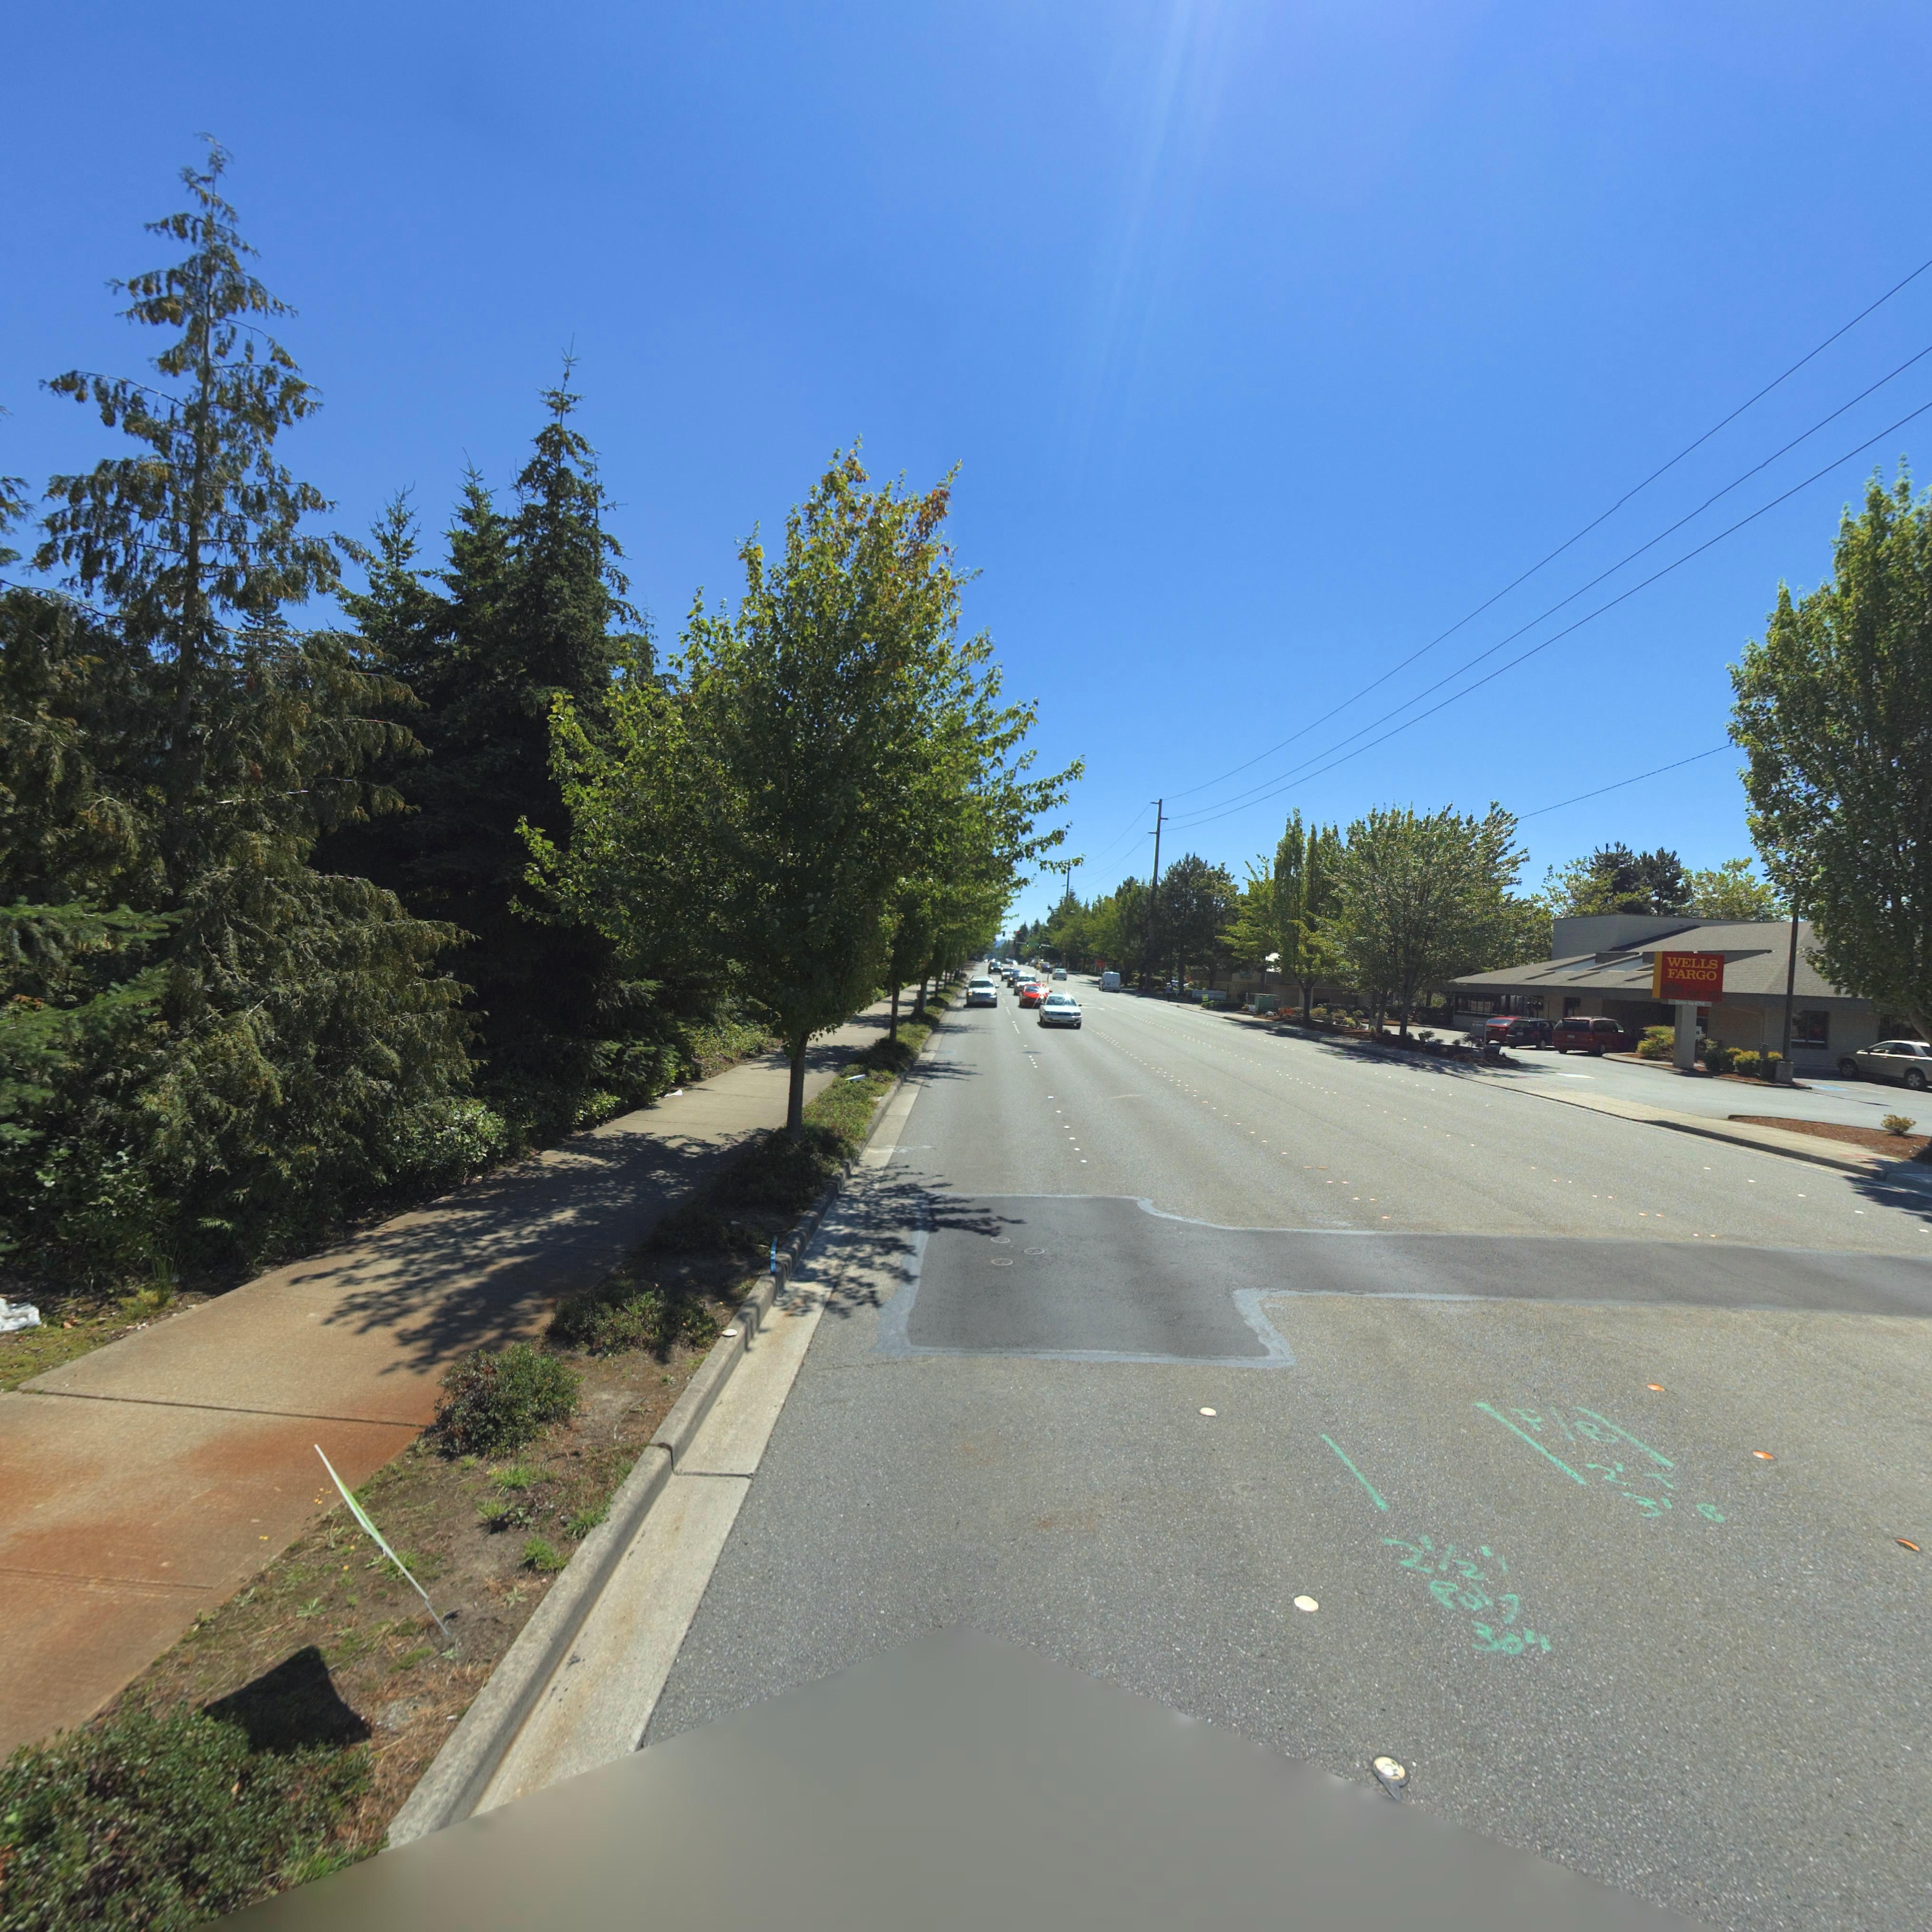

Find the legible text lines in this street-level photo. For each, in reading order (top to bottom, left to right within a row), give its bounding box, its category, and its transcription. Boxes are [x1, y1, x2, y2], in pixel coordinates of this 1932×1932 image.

[1665, 956, 1718, 970] BusinessName: WELLS
[1667, 968, 1718, 981] BusinessName: FARGO